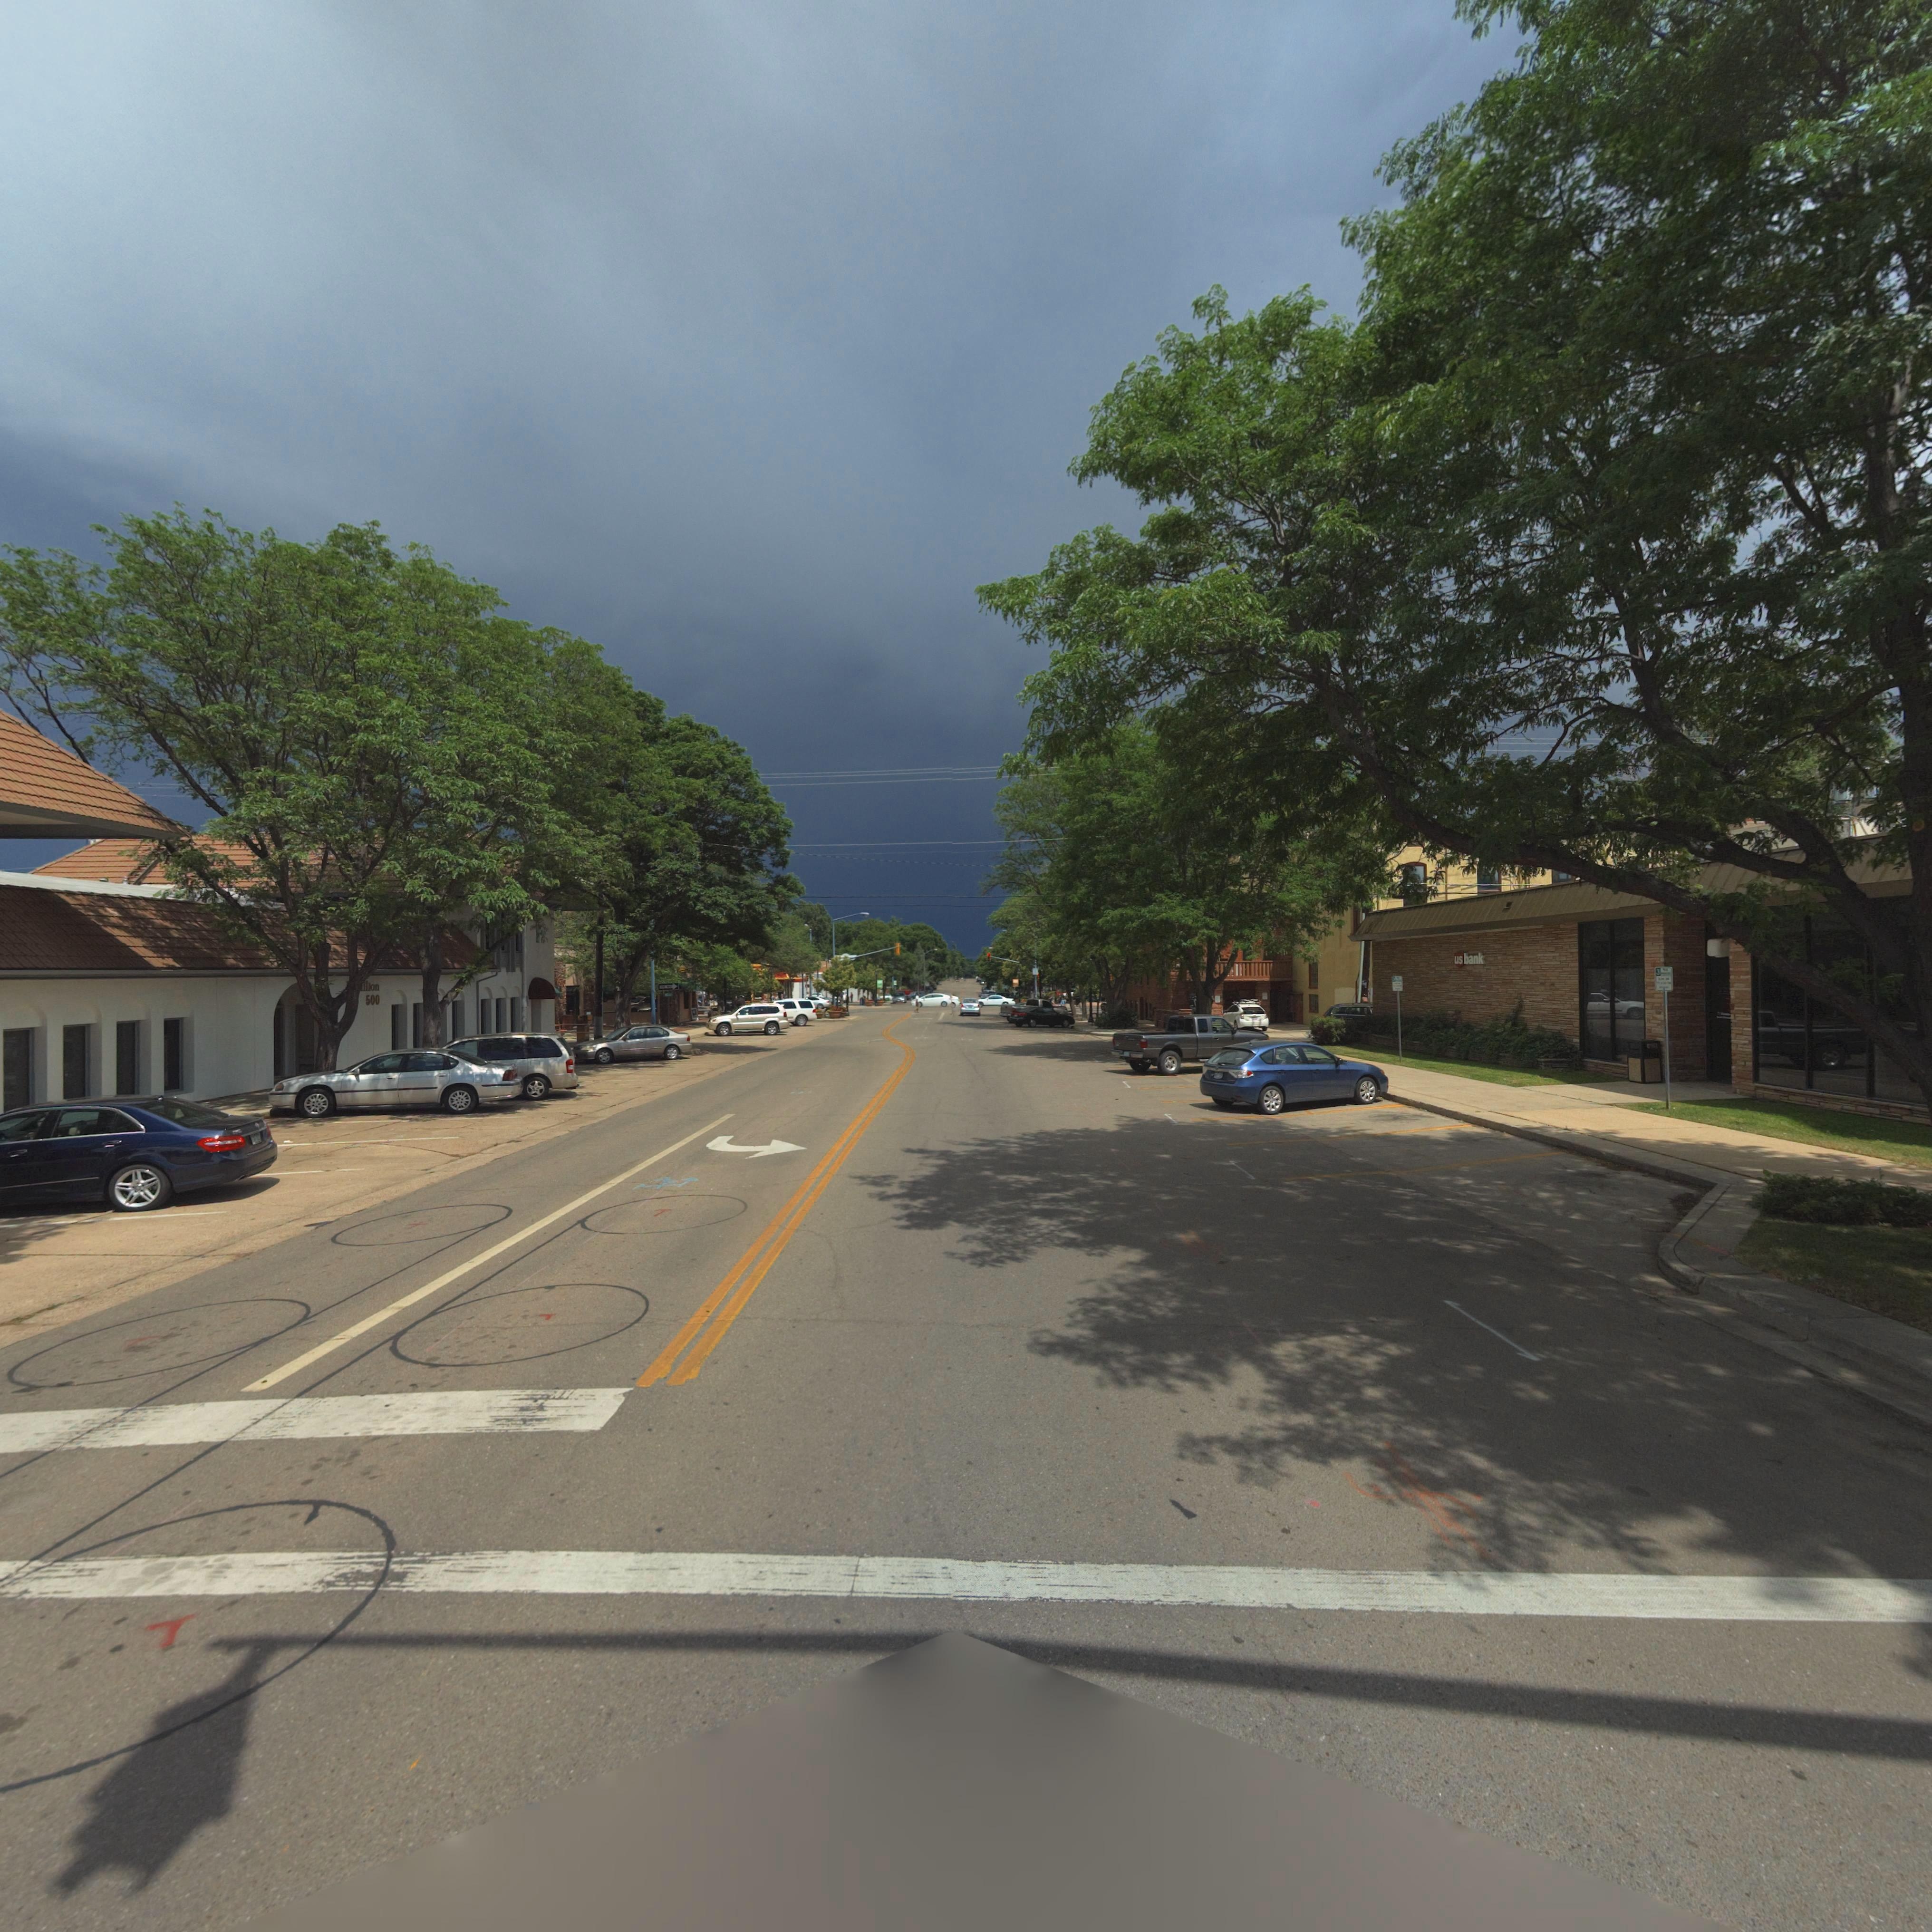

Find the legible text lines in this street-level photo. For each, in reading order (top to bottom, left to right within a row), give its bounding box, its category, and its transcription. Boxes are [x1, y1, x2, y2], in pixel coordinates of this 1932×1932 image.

[1454, 952, 1484, 964] BusinessName: usbank
[365, 994, 380, 1005] StreetNumber: 500